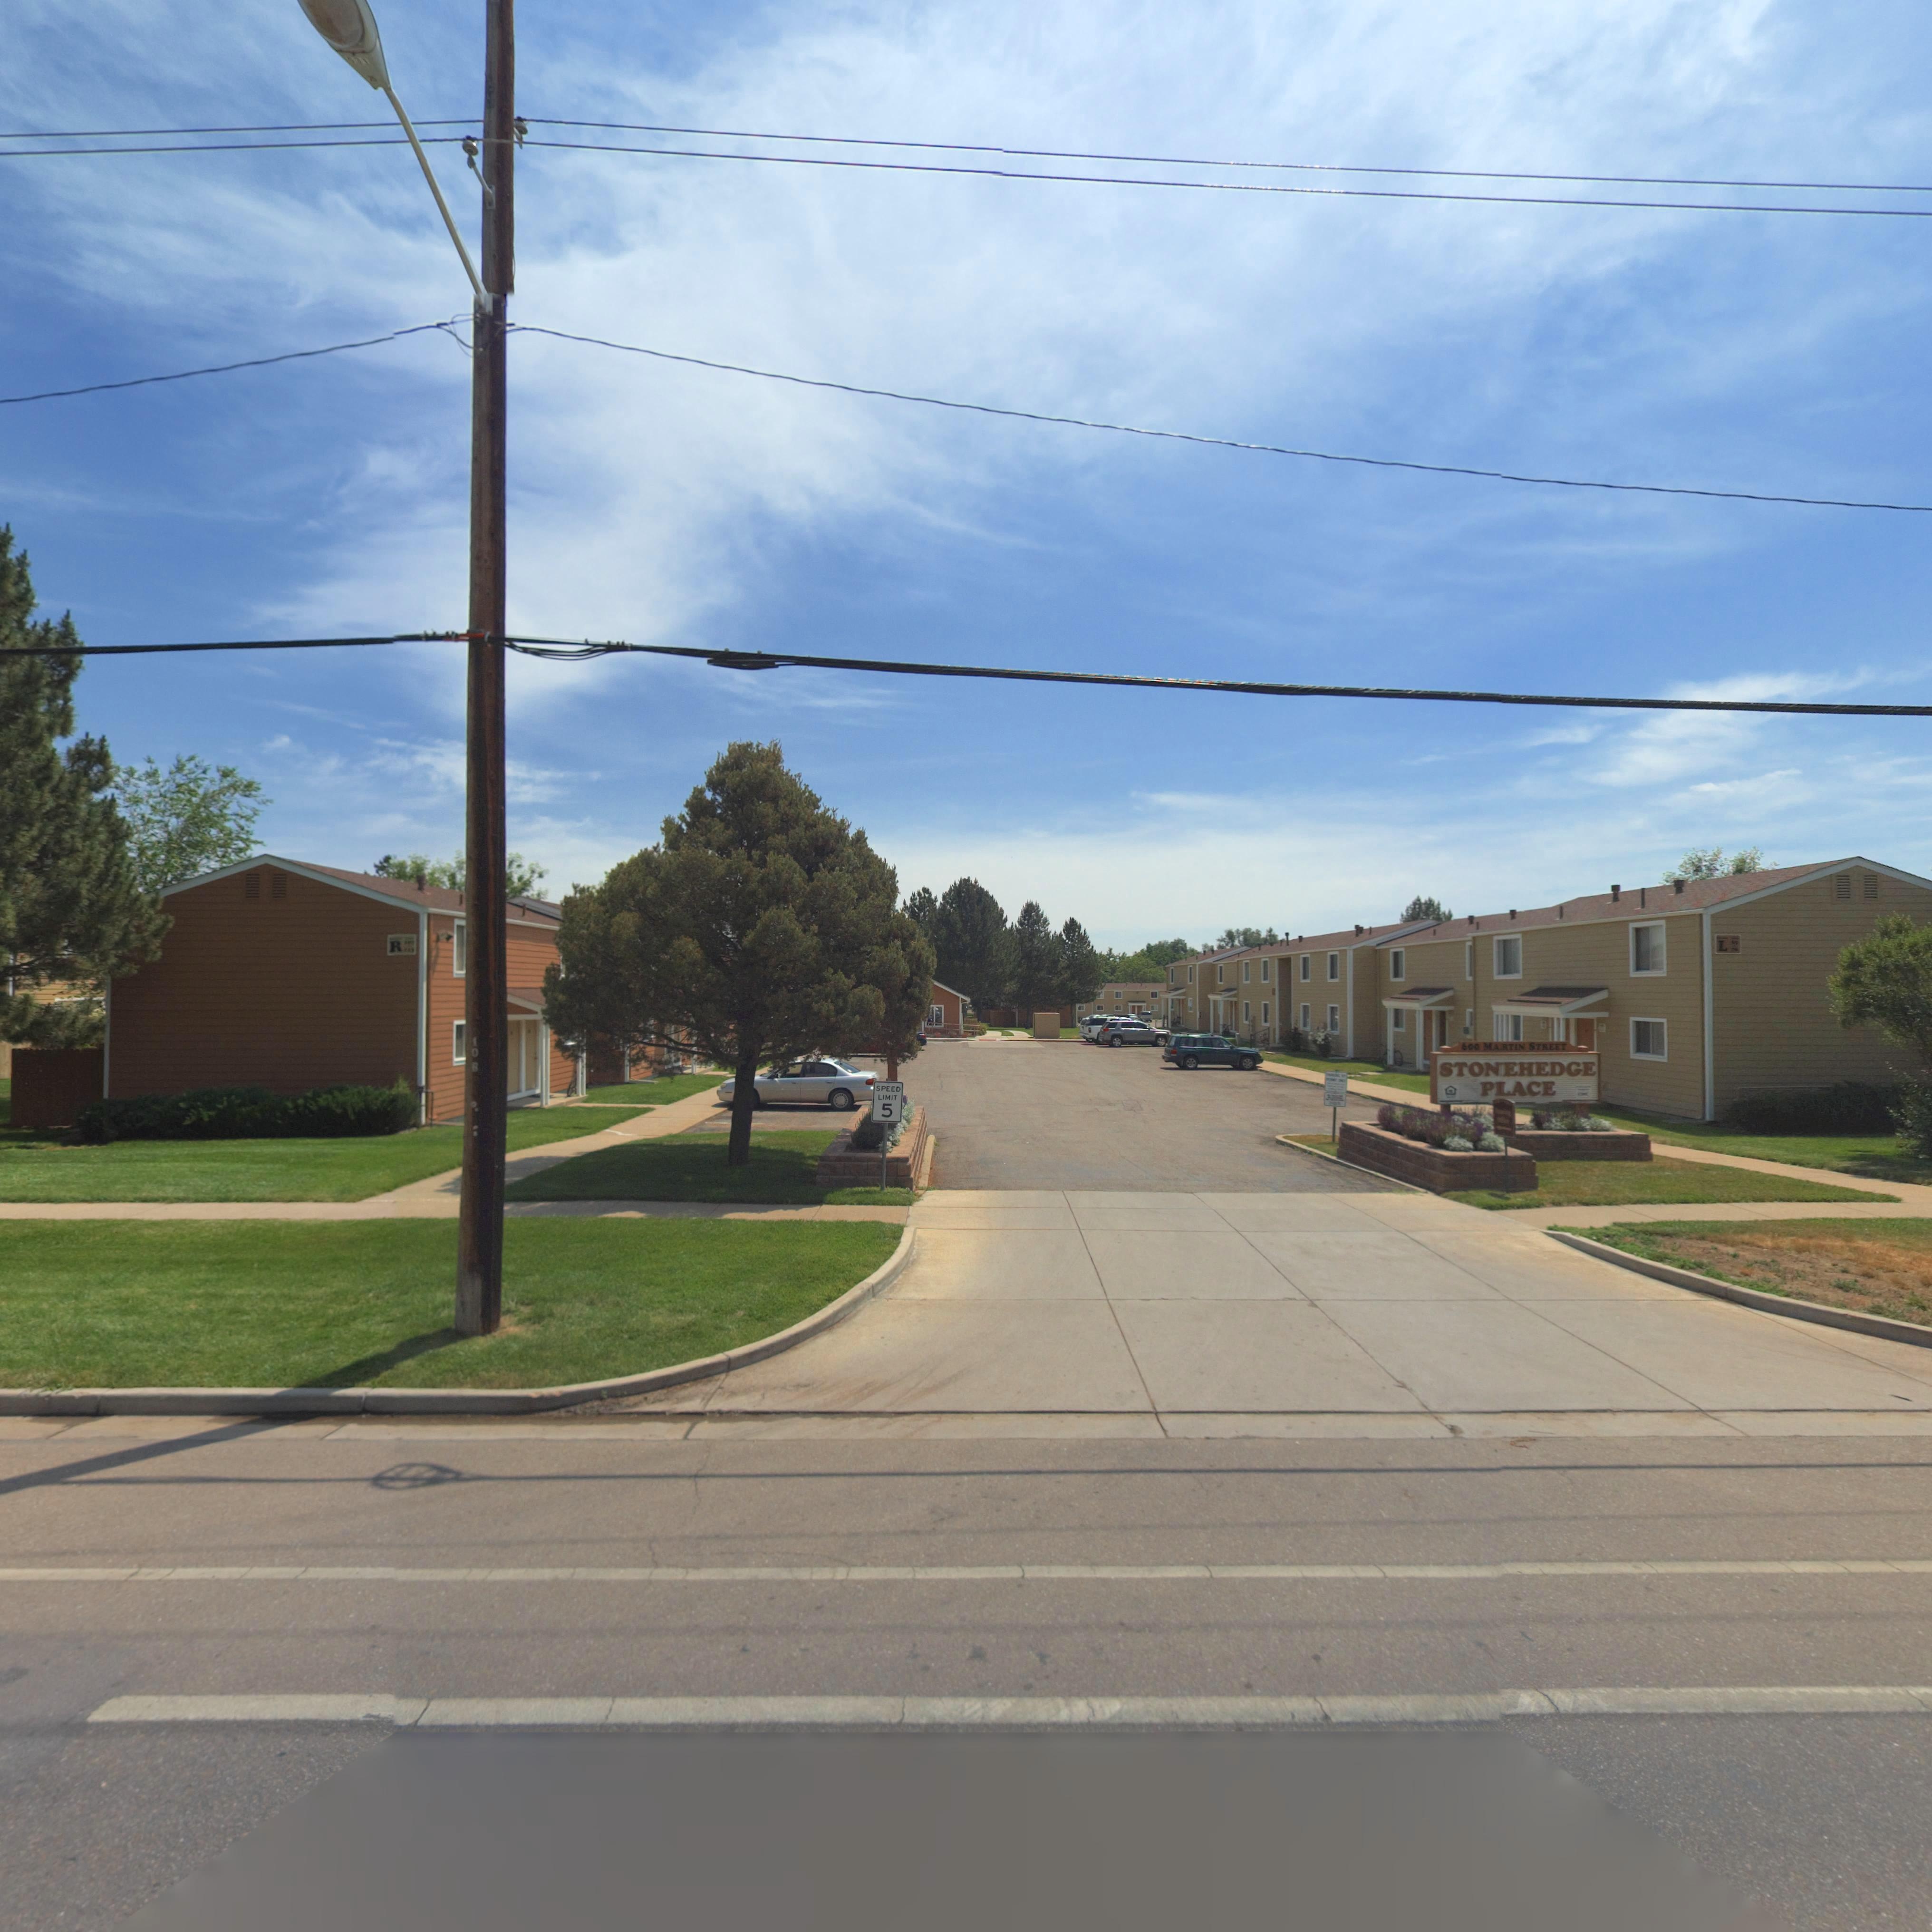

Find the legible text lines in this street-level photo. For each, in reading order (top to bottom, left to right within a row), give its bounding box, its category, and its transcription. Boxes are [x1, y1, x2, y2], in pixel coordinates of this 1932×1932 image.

[1461, 1042, 1479, 1051] StreetNumber: 600
[1483, 1042, 1566, 1051] StreetName: MARTIN STREET 